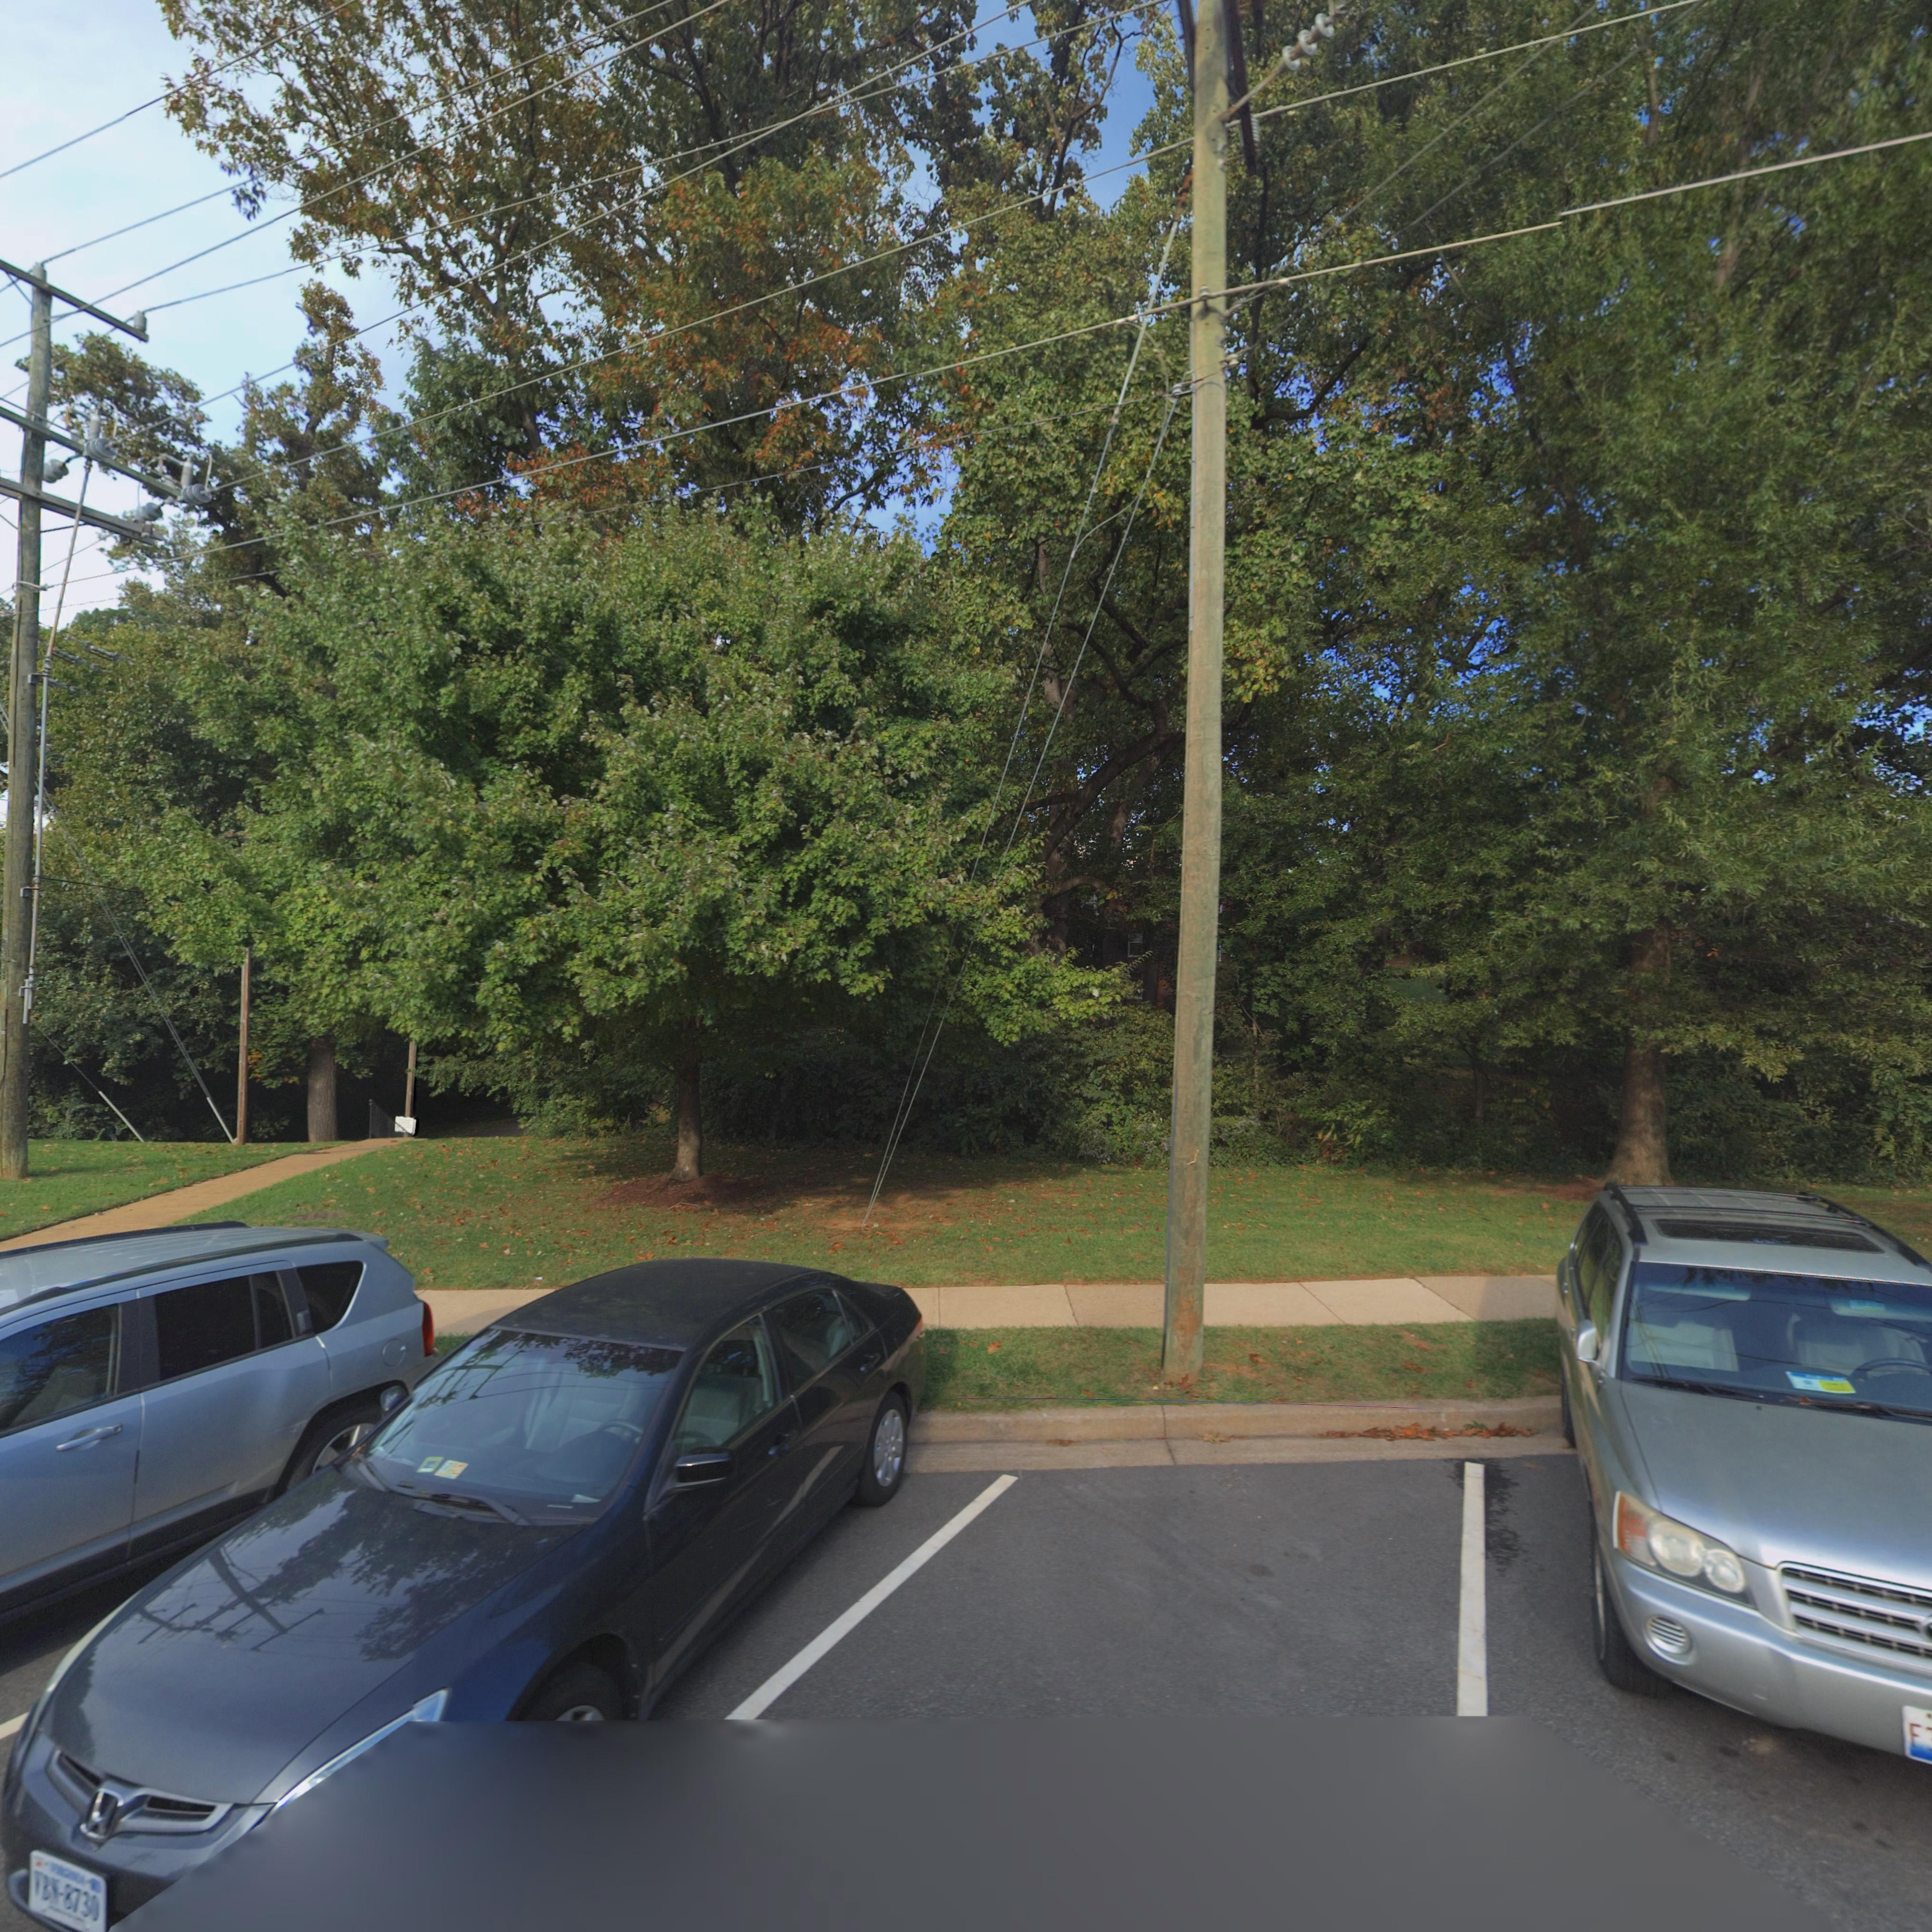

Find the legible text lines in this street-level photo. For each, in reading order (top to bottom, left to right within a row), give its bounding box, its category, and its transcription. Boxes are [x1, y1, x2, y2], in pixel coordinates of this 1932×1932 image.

[1908, 1719, 1925, 1751] None: F
[38, 1871, 102, 1925] None: BN-8730